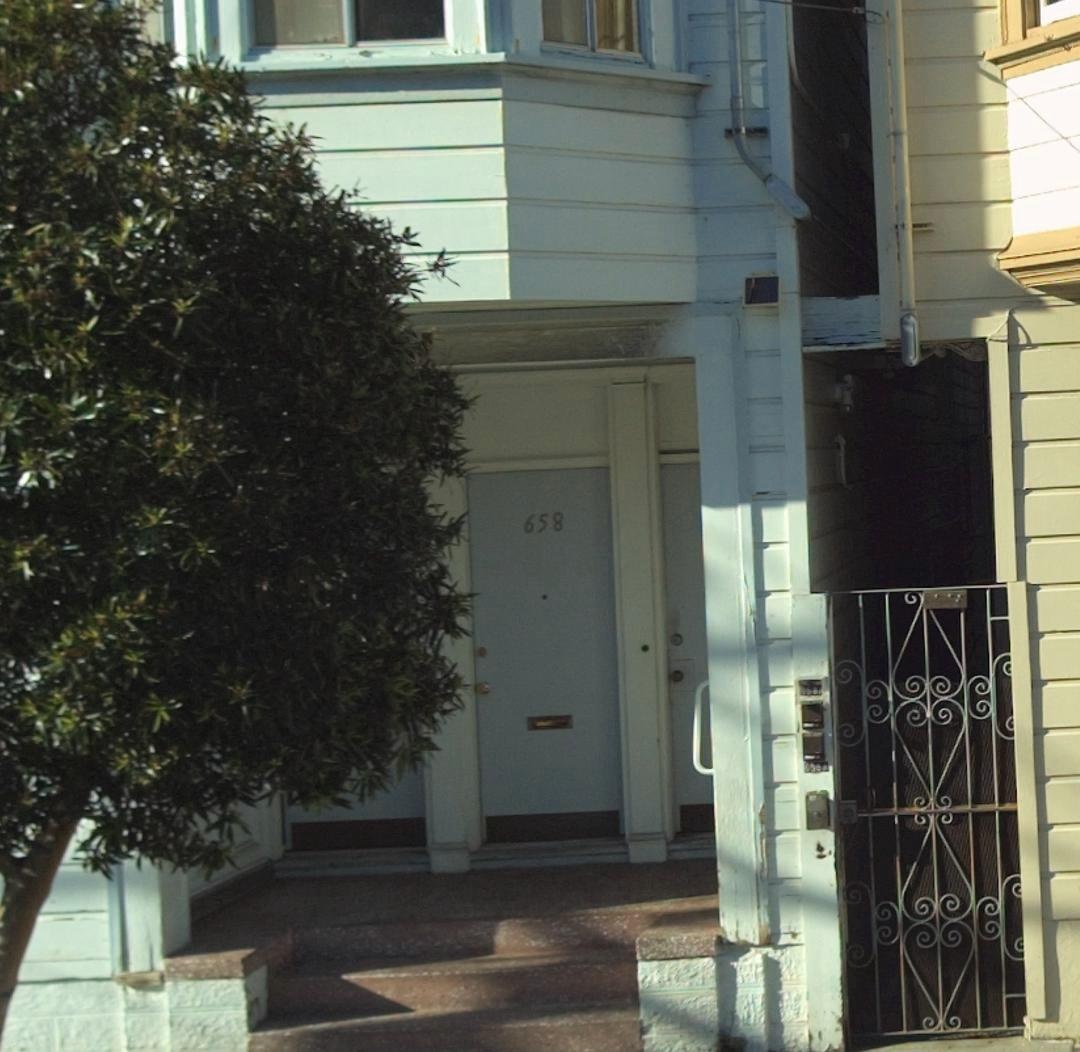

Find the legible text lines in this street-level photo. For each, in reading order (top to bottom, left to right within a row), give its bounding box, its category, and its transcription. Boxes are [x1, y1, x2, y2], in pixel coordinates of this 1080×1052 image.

[522, 511, 564, 535] StreetNumber: 658